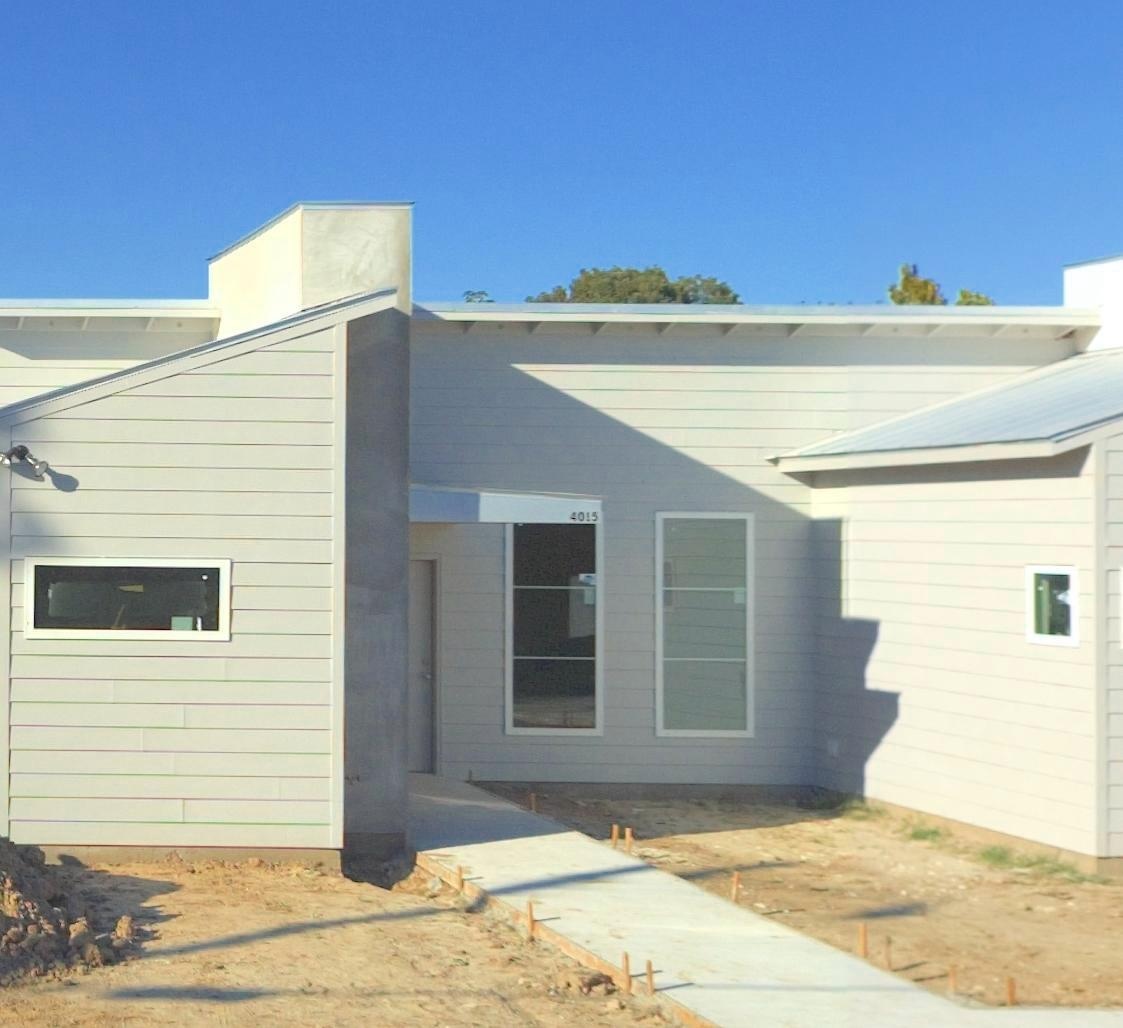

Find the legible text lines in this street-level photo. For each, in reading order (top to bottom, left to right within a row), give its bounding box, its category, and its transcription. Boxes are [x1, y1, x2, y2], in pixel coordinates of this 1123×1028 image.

[567, 509, 601, 524] StreetNumber: 4015